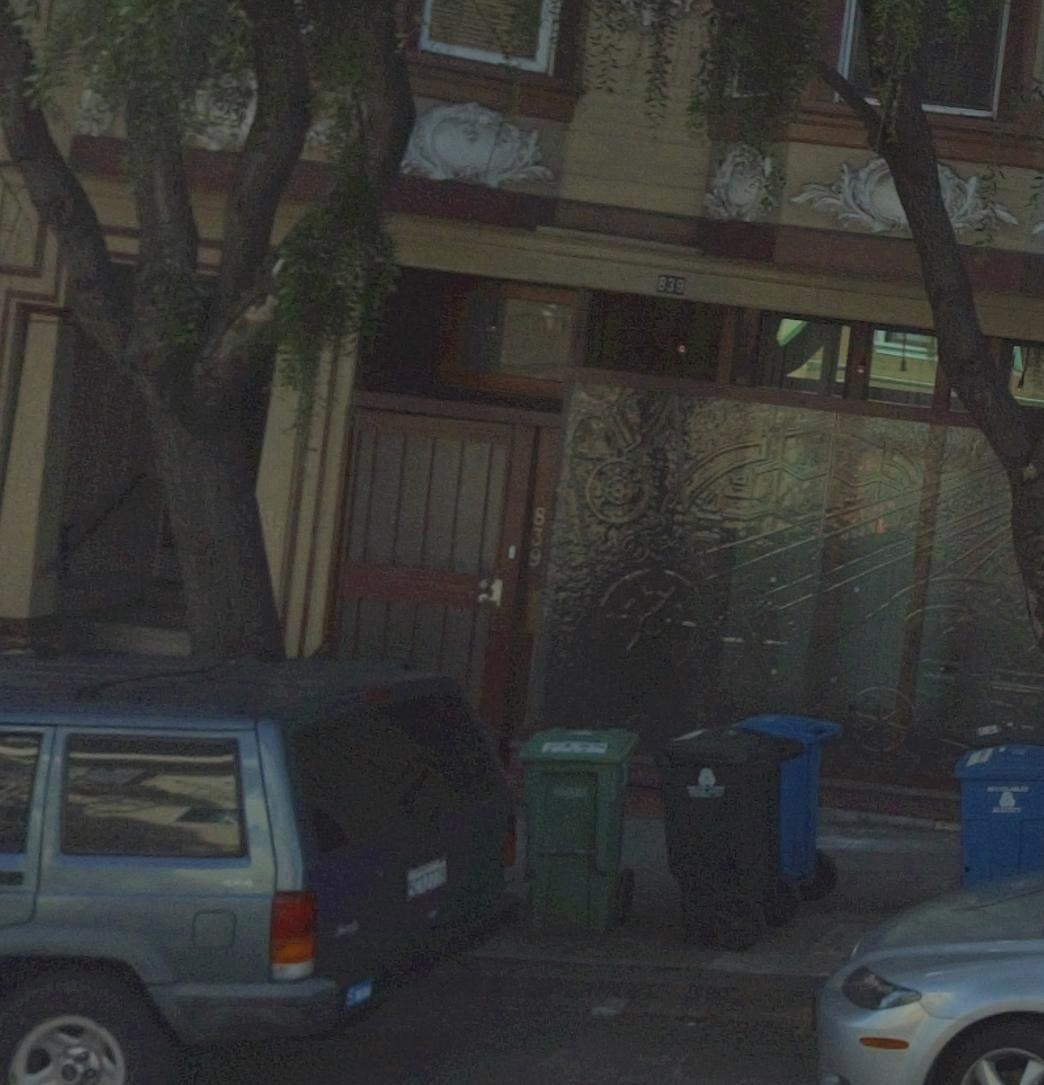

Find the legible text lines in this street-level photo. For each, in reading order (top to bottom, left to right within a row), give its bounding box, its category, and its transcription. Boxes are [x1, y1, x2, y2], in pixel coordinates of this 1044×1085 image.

[528, 505, 548, 568] StreetNumber: 839